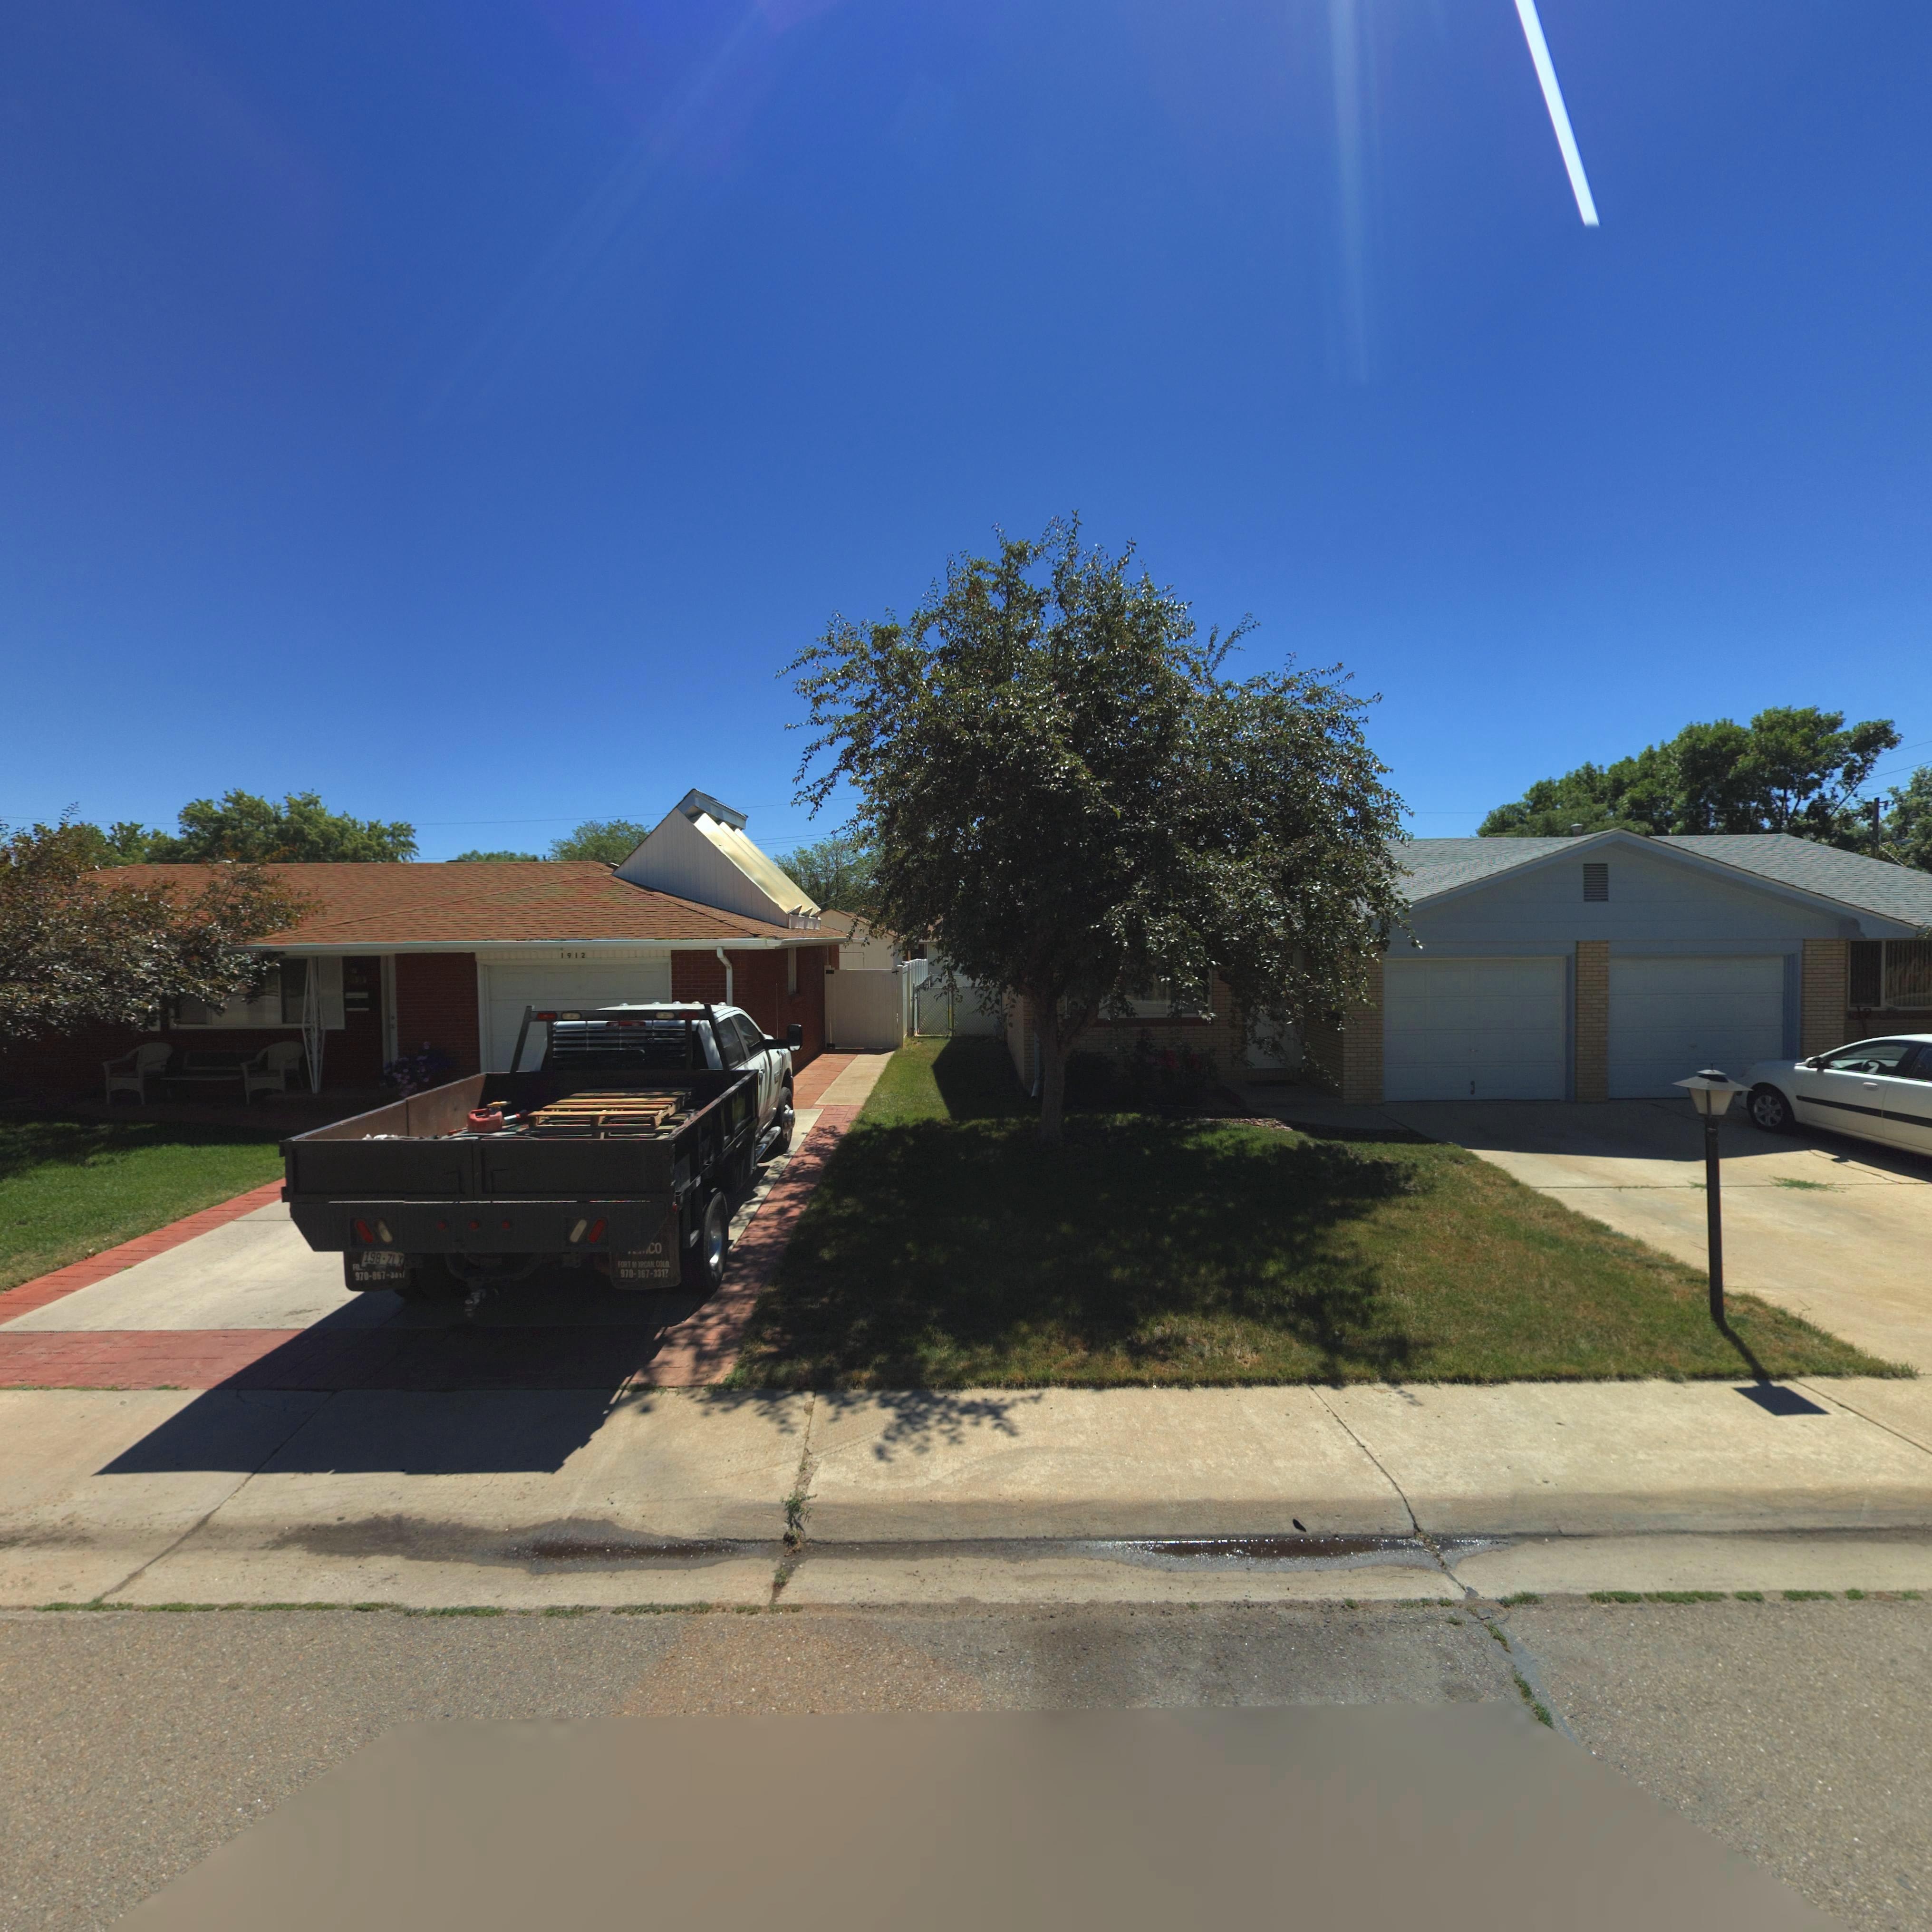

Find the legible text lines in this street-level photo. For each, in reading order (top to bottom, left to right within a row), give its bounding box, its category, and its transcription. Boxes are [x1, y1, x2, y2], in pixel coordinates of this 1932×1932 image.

[560, 951, 585, 959] StreetNumber: 1912